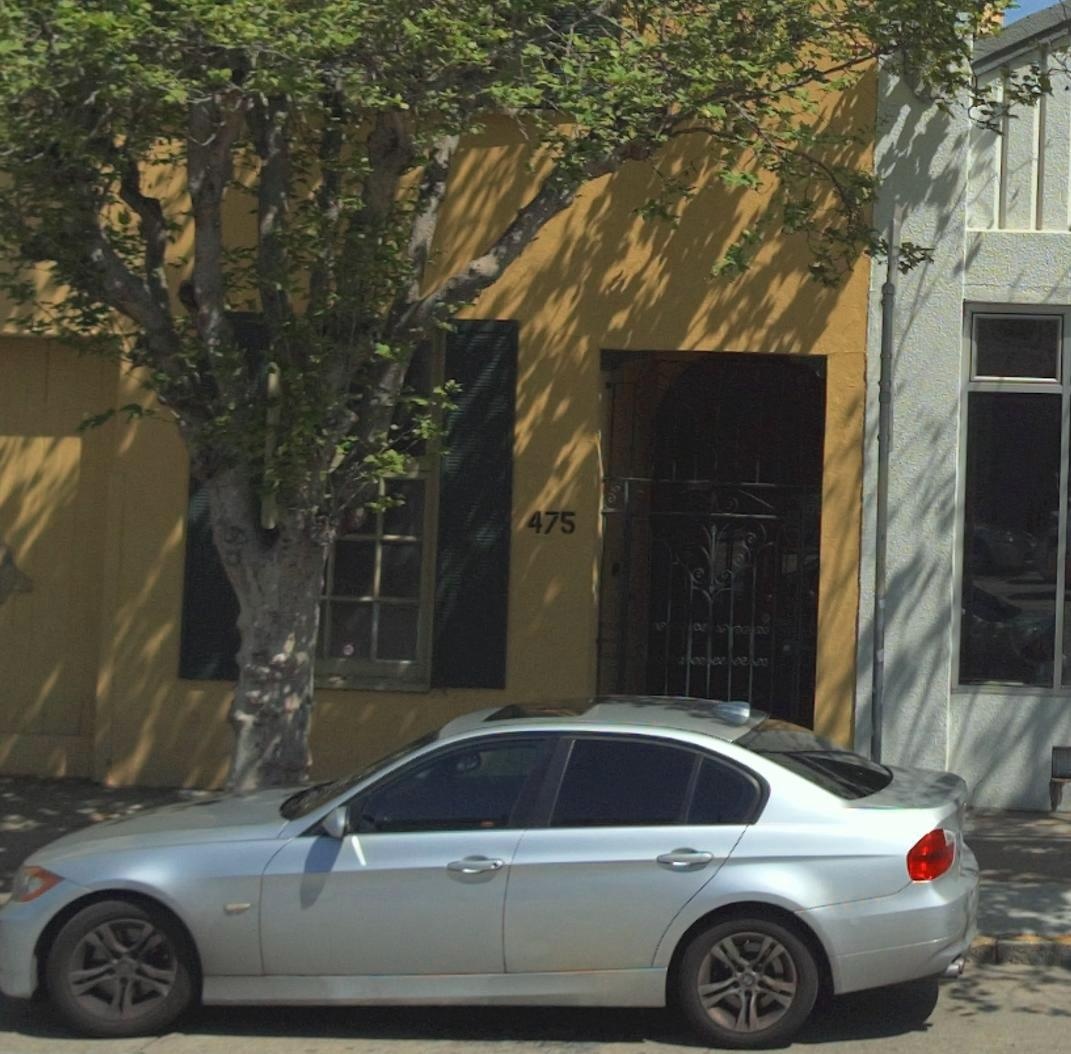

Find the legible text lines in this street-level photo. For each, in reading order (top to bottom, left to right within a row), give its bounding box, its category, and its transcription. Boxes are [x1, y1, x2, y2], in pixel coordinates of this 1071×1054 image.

[526, 510, 576, 535] StreetNumber: 475